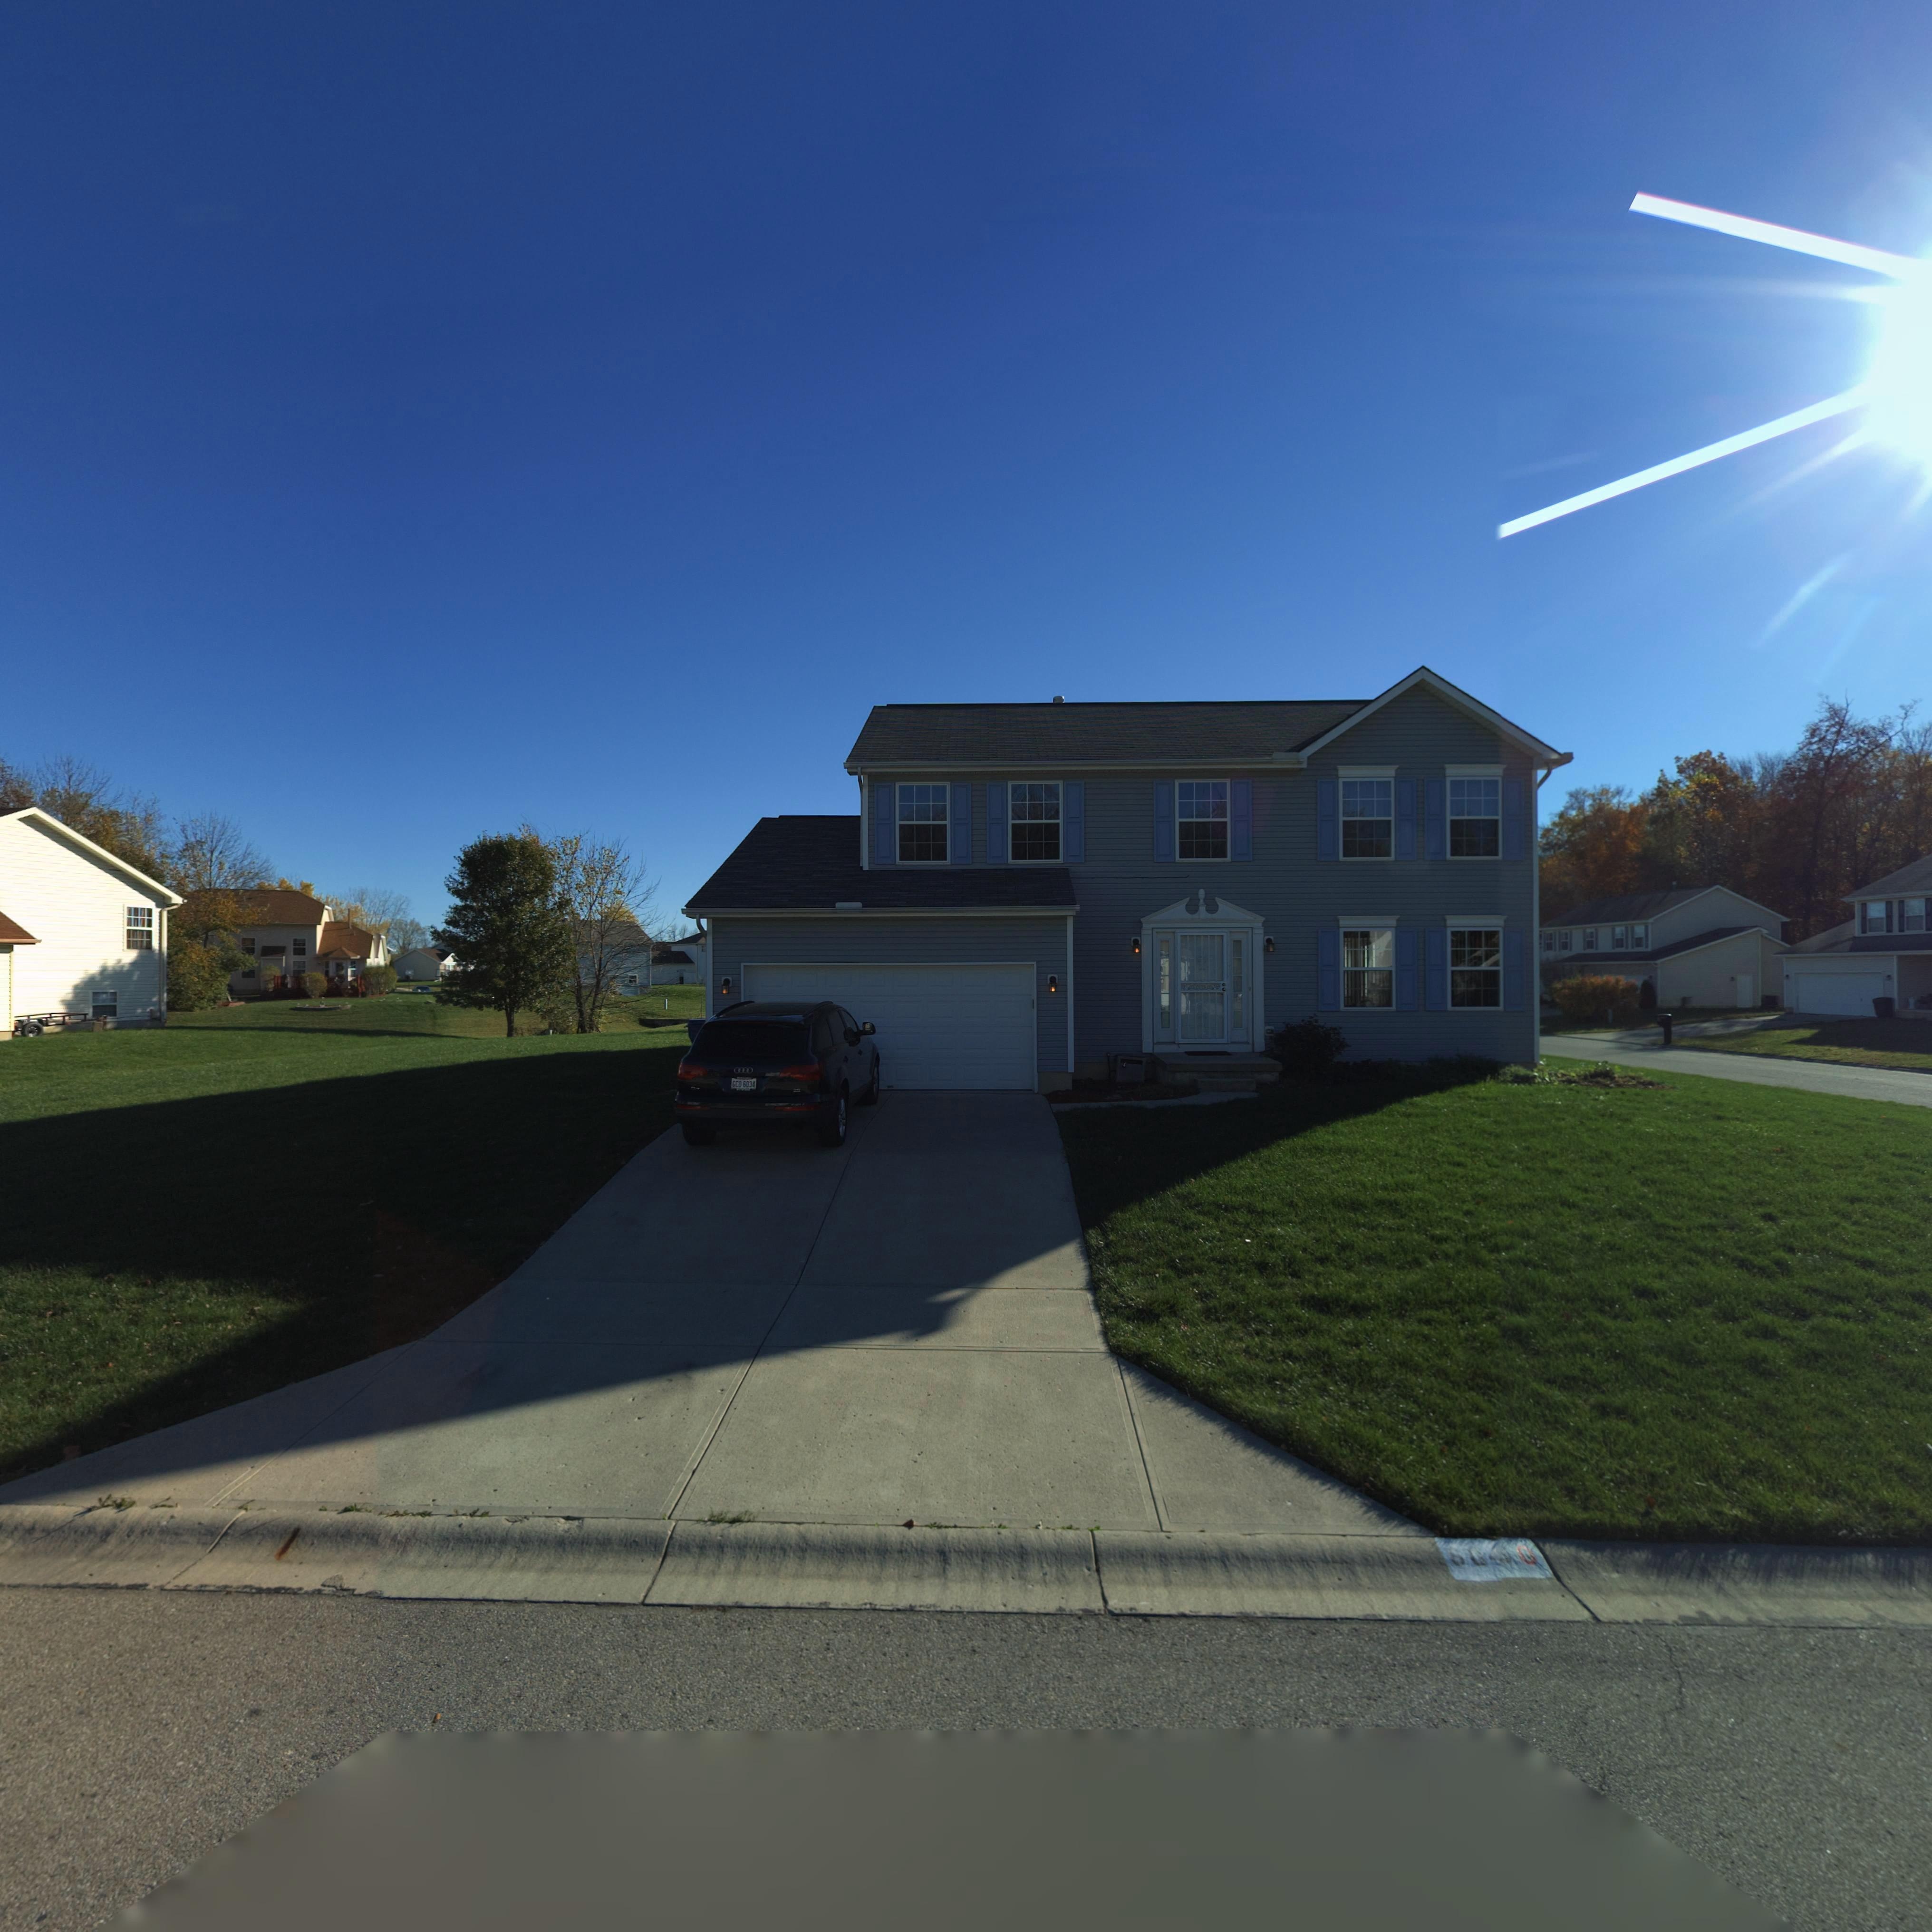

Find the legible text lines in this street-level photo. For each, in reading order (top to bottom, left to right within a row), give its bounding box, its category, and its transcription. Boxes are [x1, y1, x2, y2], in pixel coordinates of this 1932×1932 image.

[732, 1080, 755, 1088] None: GCO 6034
[1444, 1542, 1541, 1571] StreetNumber: 60**